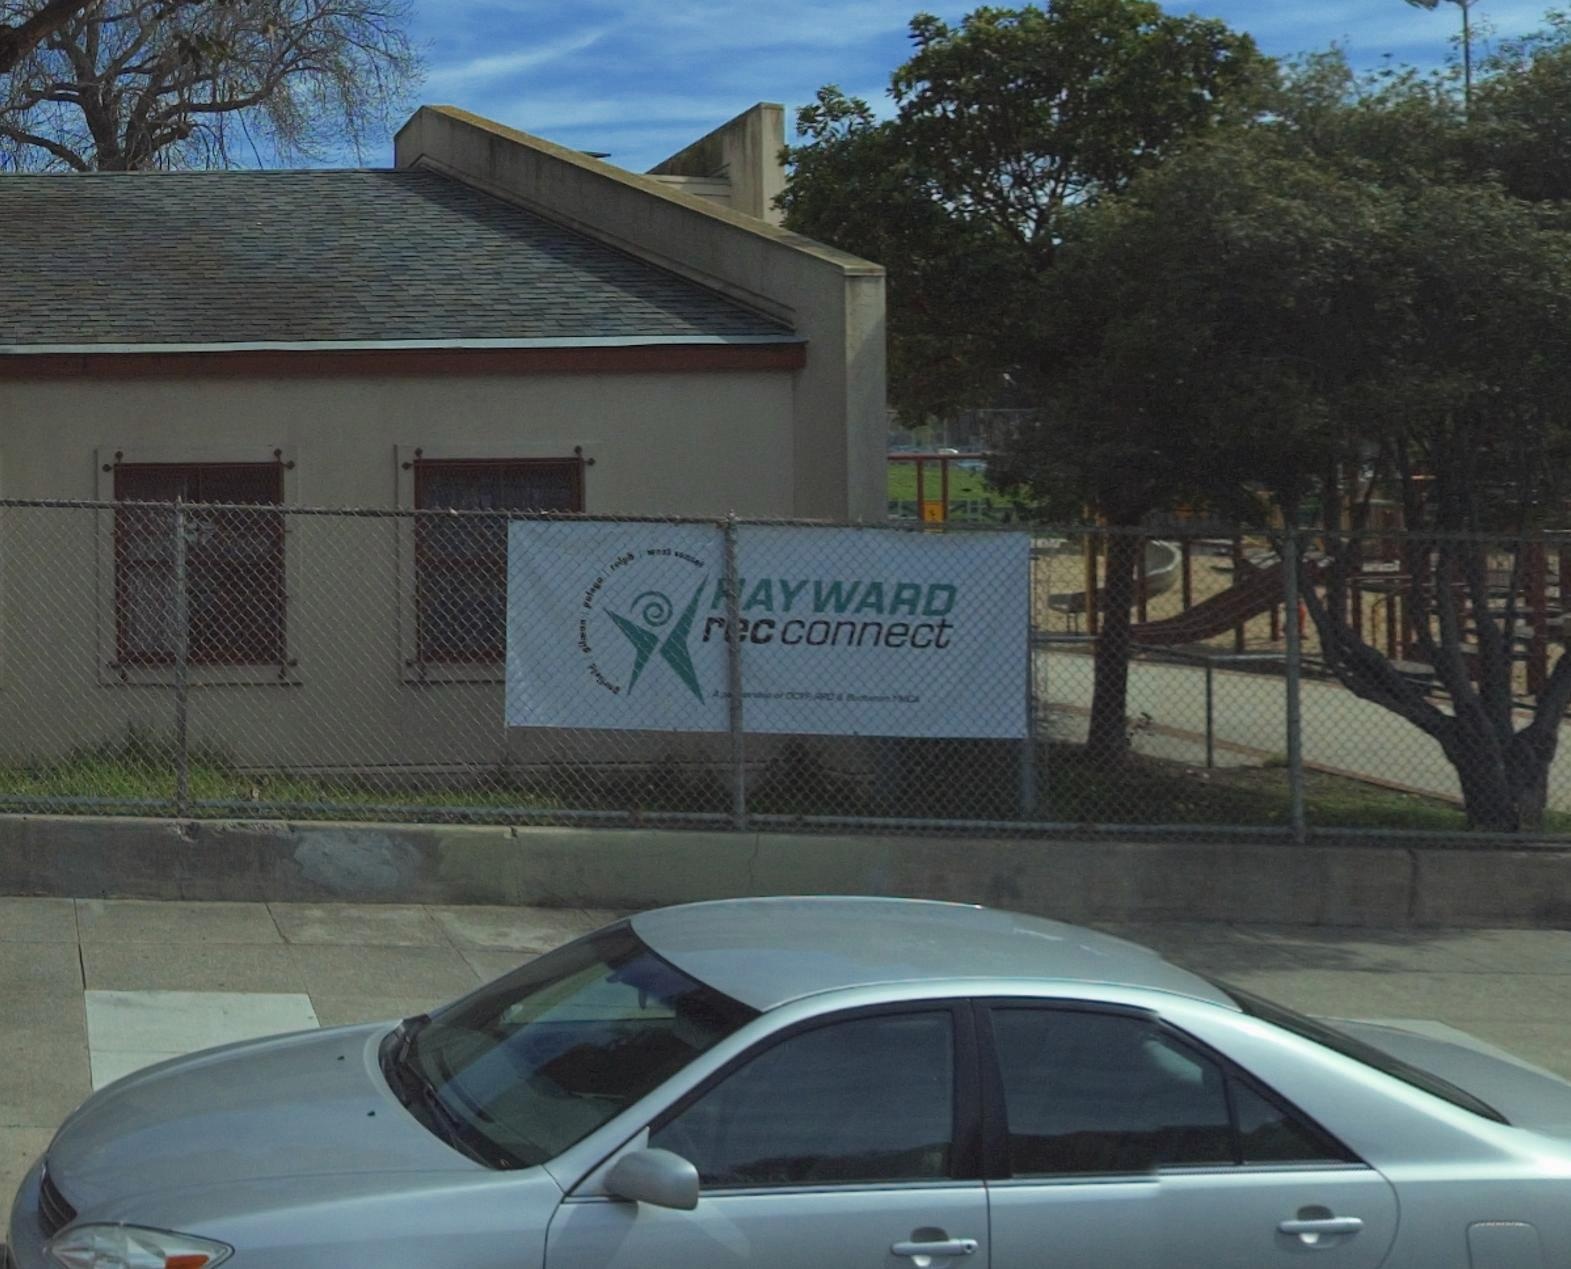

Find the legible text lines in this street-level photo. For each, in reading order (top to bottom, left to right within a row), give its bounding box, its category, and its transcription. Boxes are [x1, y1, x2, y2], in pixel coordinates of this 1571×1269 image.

[709, 574, 961, 622] BusinessName: *AYWARD
[699, 611, 959, 655] BusinessName: r*c connect